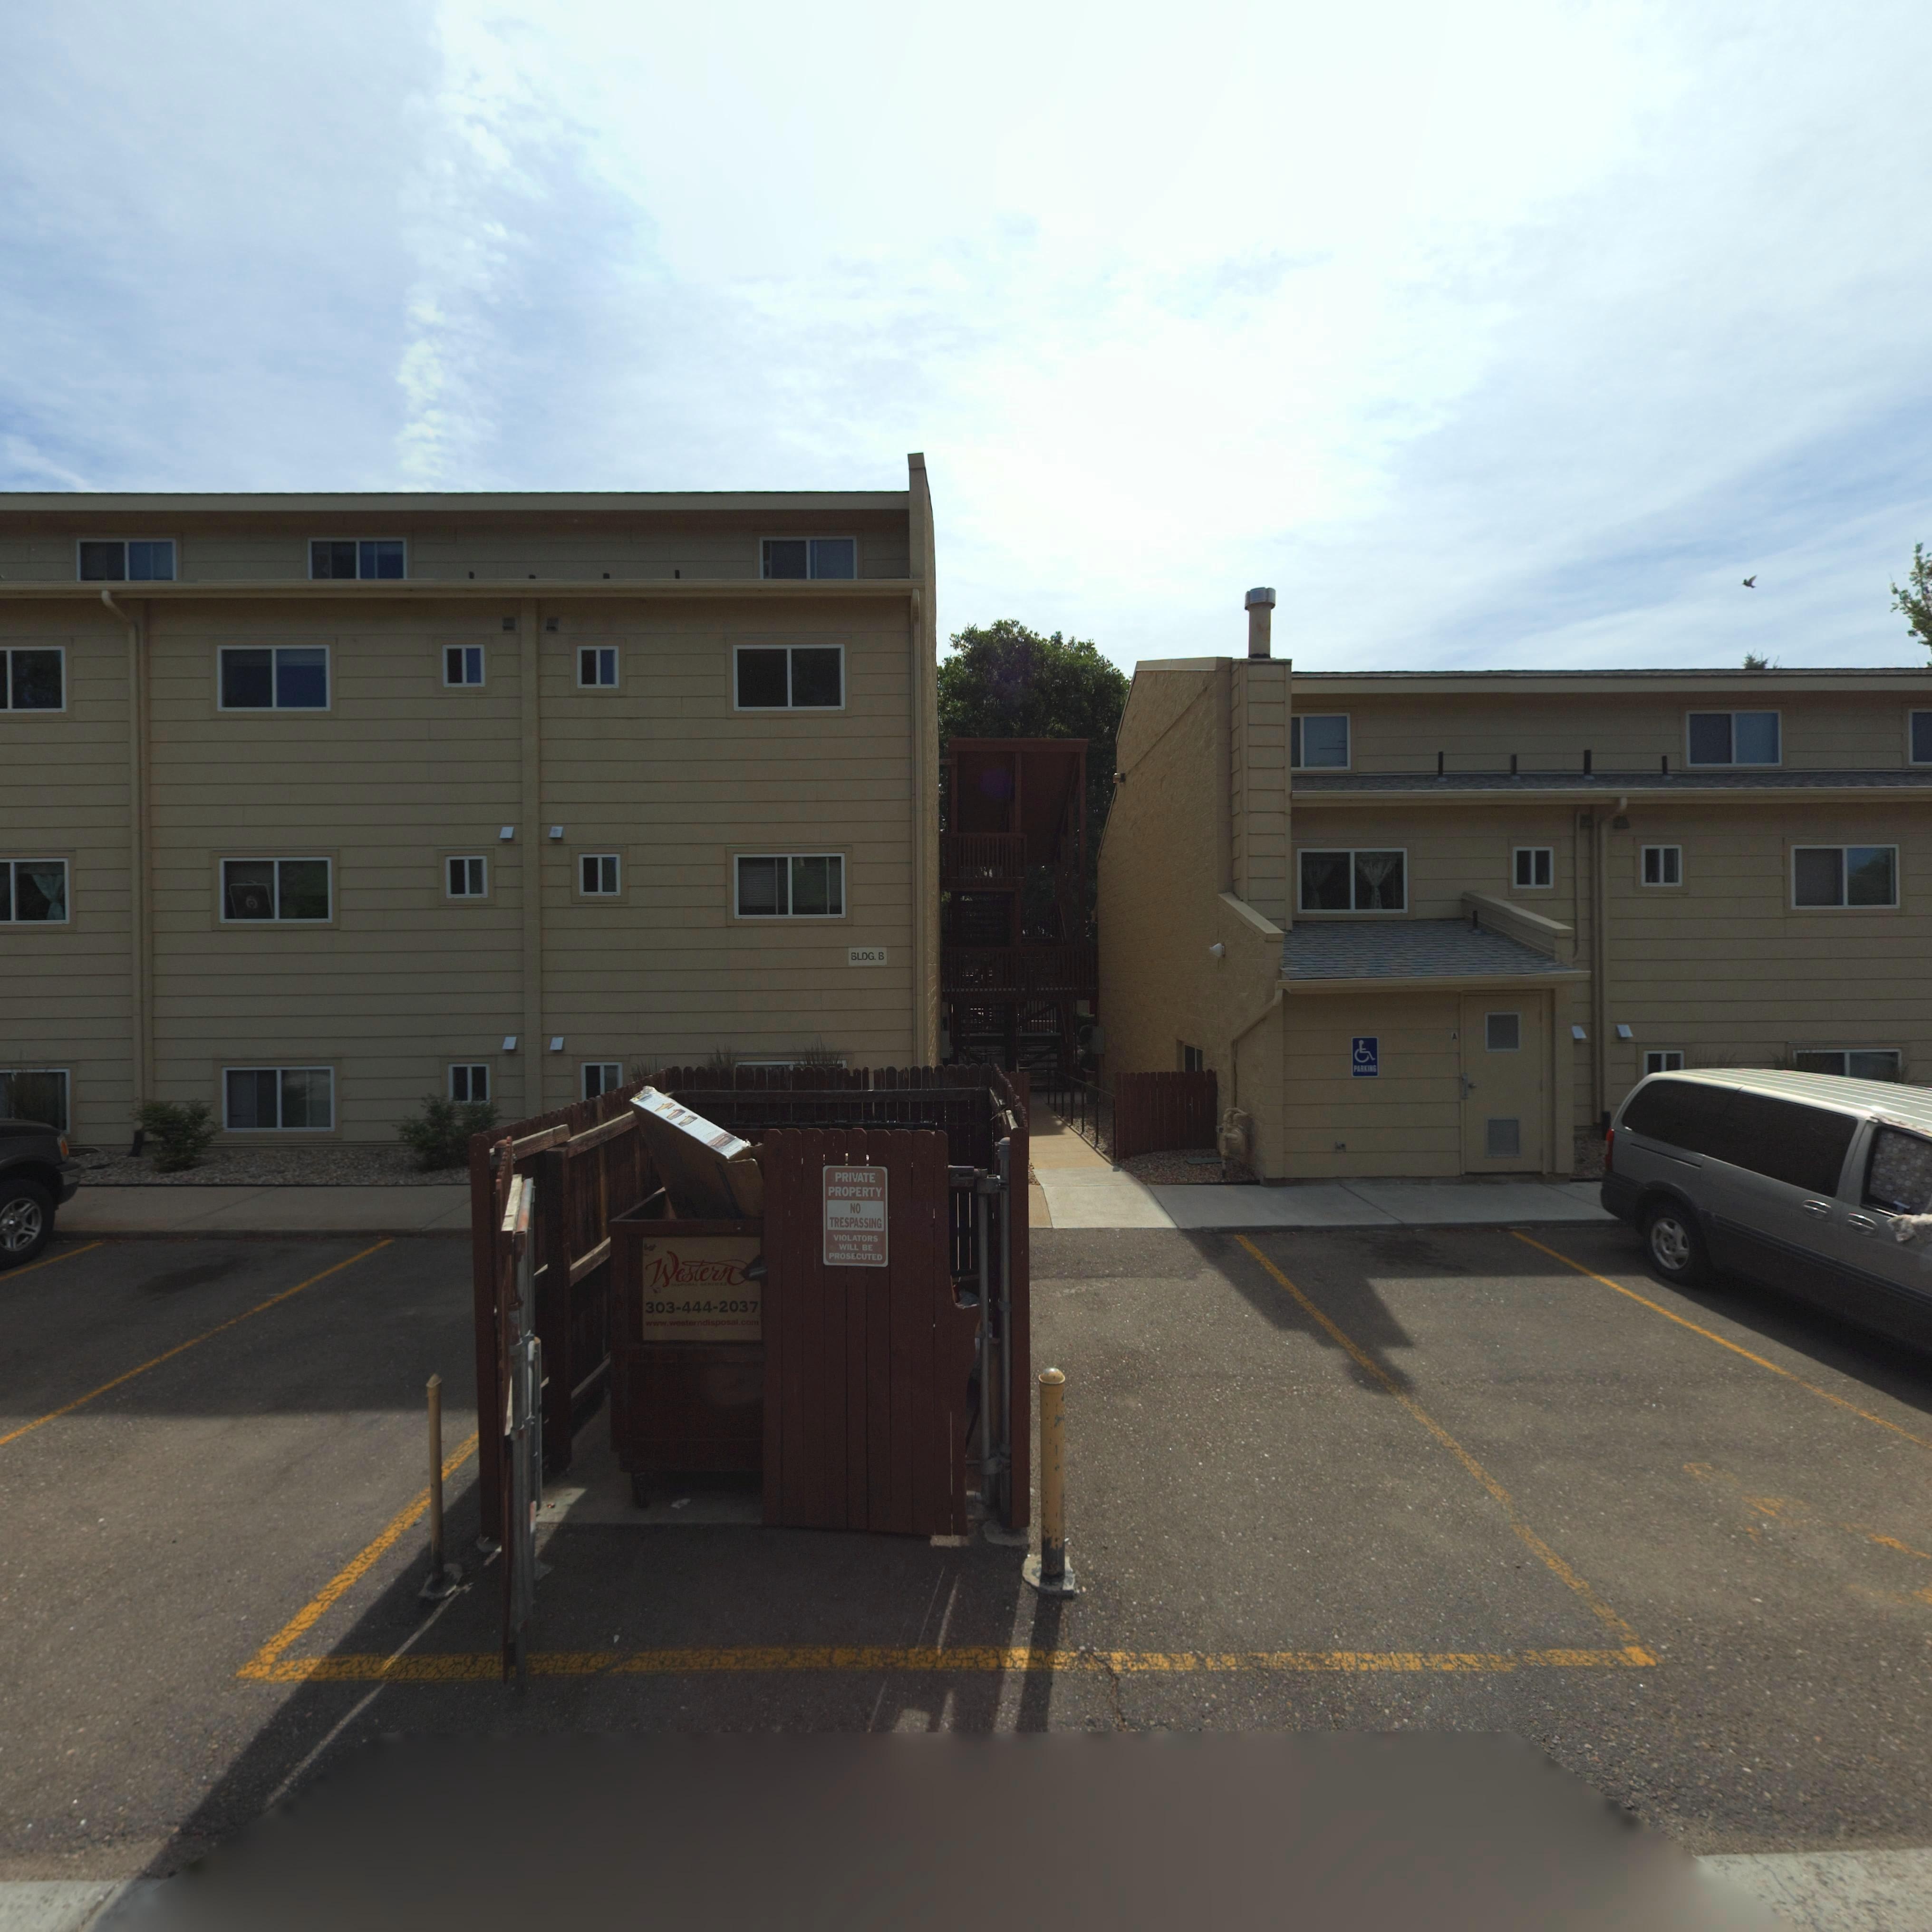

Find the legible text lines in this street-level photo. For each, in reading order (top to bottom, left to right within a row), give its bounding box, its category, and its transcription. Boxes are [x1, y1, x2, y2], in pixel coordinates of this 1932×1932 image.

[850, 951, 884, 960] SecondaryUnitDesignator: BLDG. B